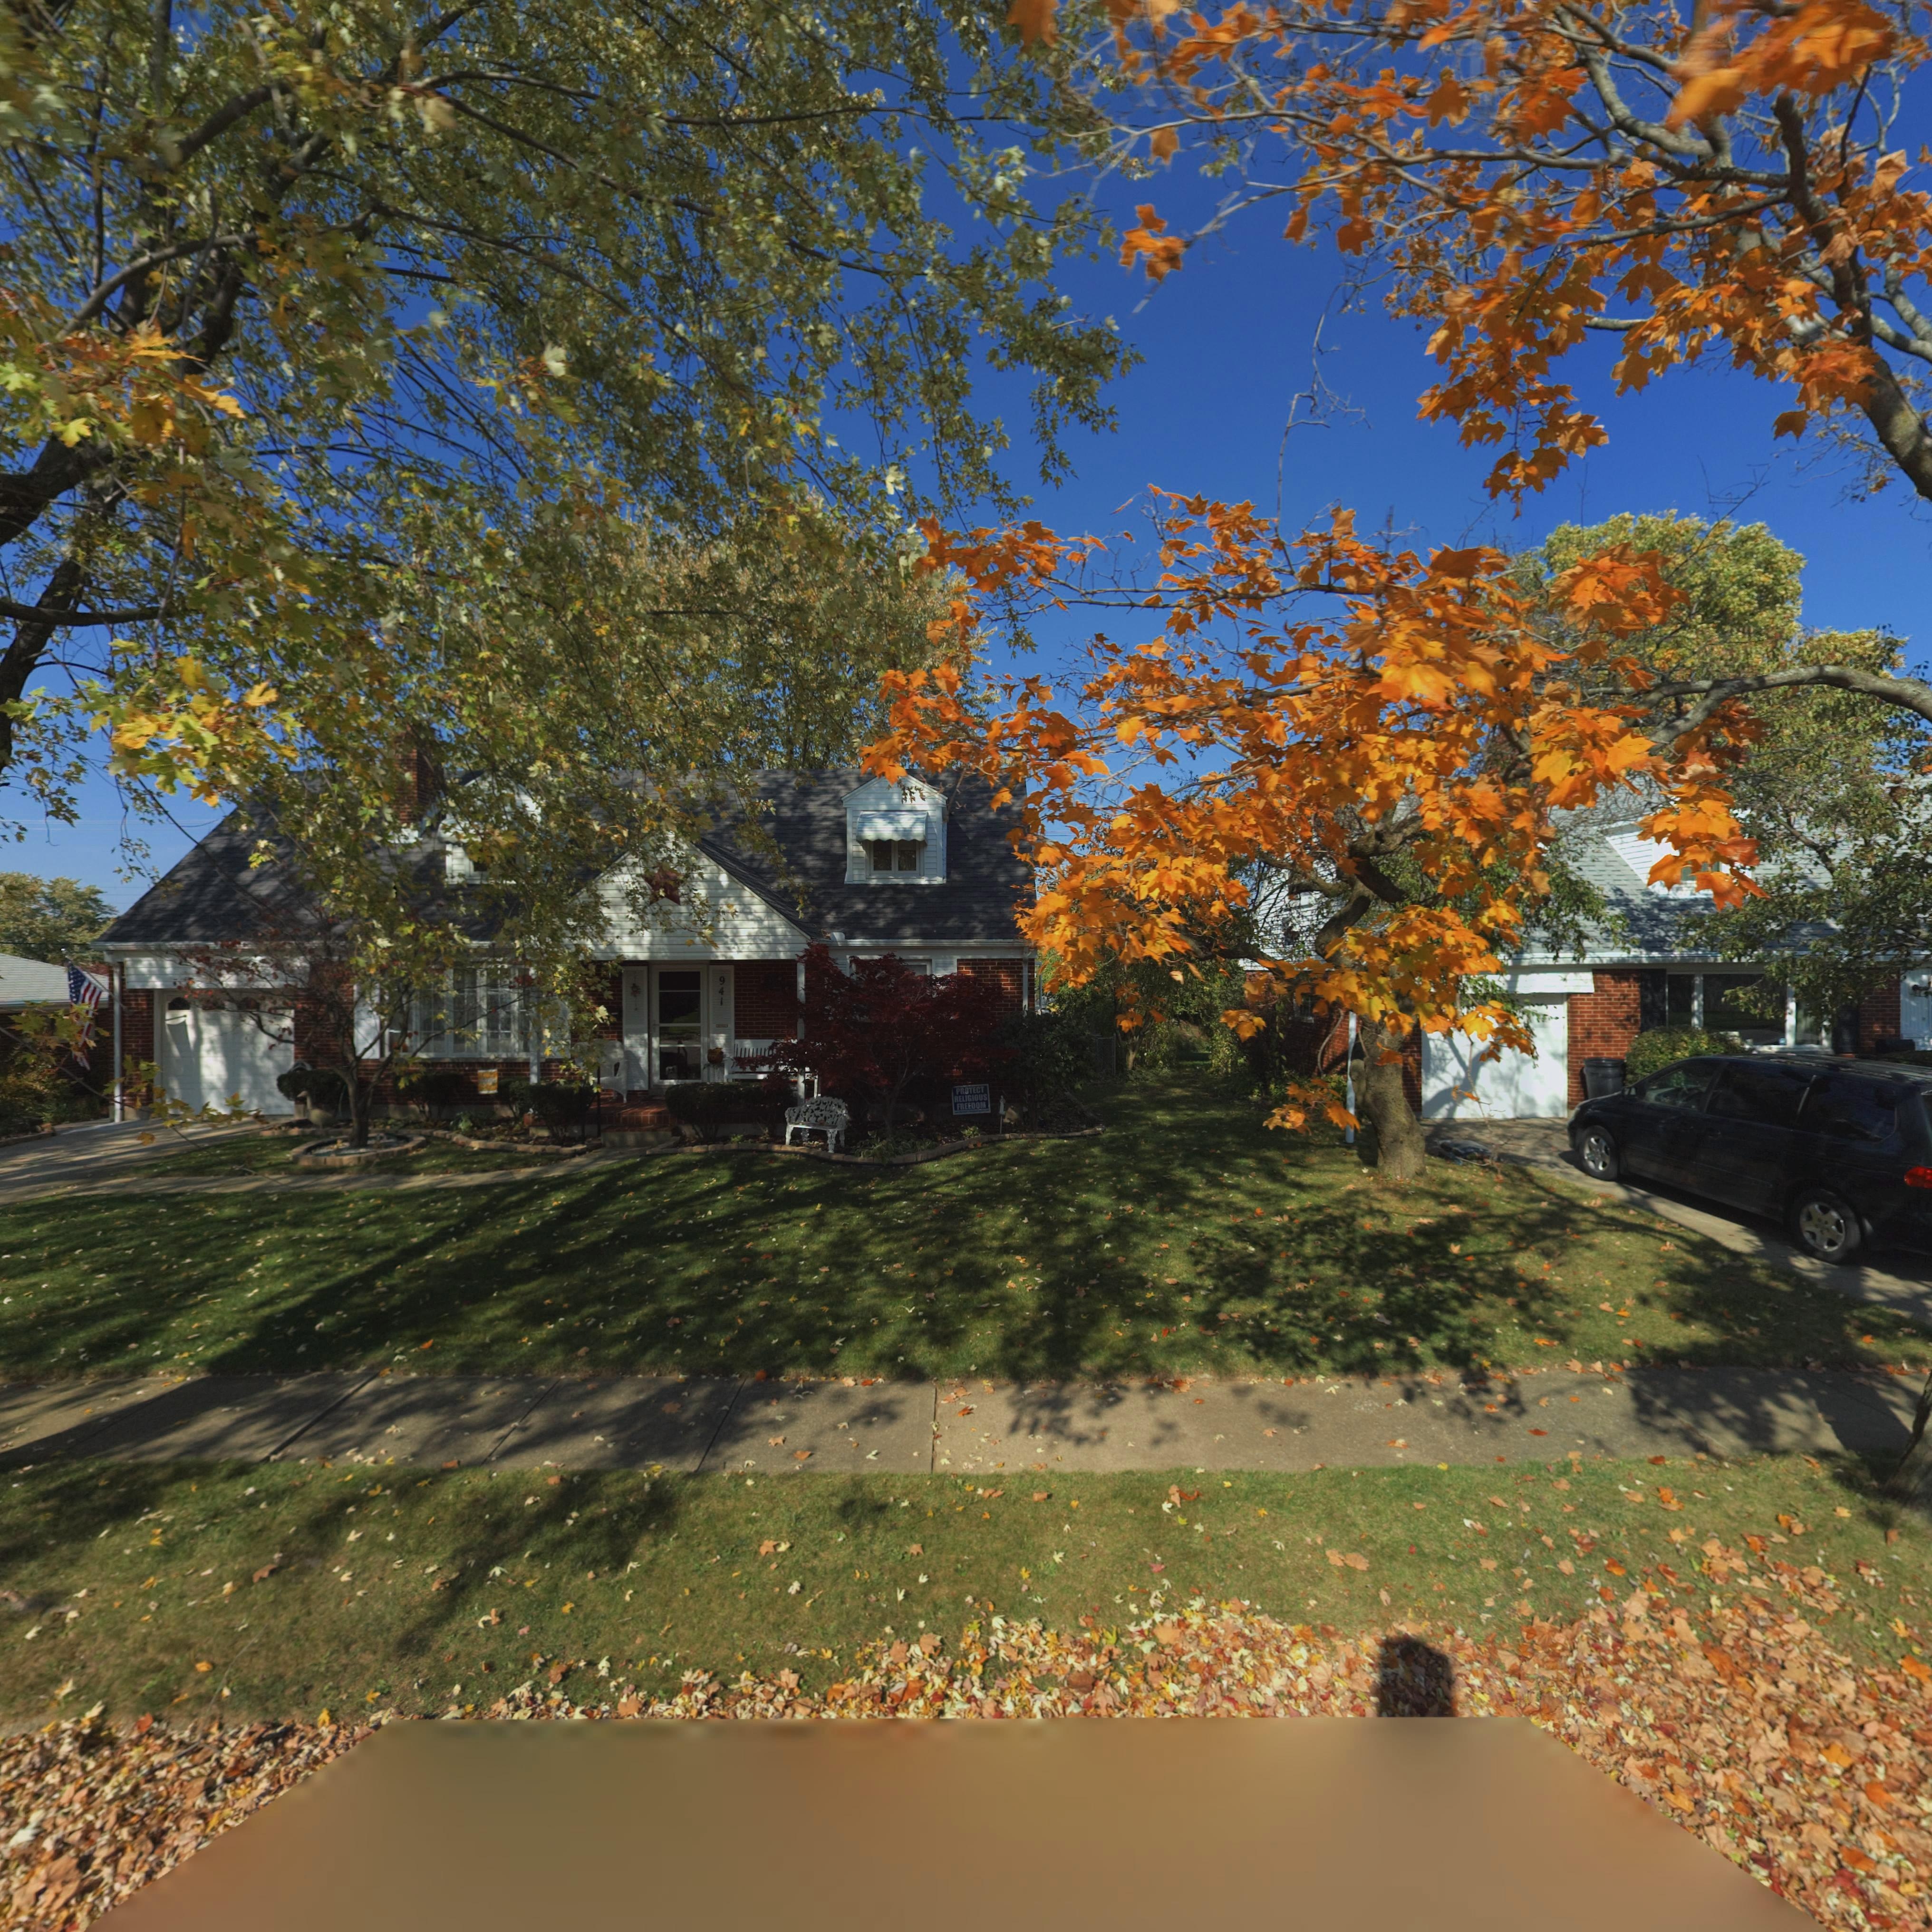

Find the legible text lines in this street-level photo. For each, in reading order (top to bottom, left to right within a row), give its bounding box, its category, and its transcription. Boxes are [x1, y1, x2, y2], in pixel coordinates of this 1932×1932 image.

[718, 975, 725, 1006] StreetNumber: 941
[956, 1086, 985, 1095] None: PROTECT
[953, 1093, 988, 1103] None: RELIGIOUS
[956, 1101, 986, 1111] None: FREEDOM